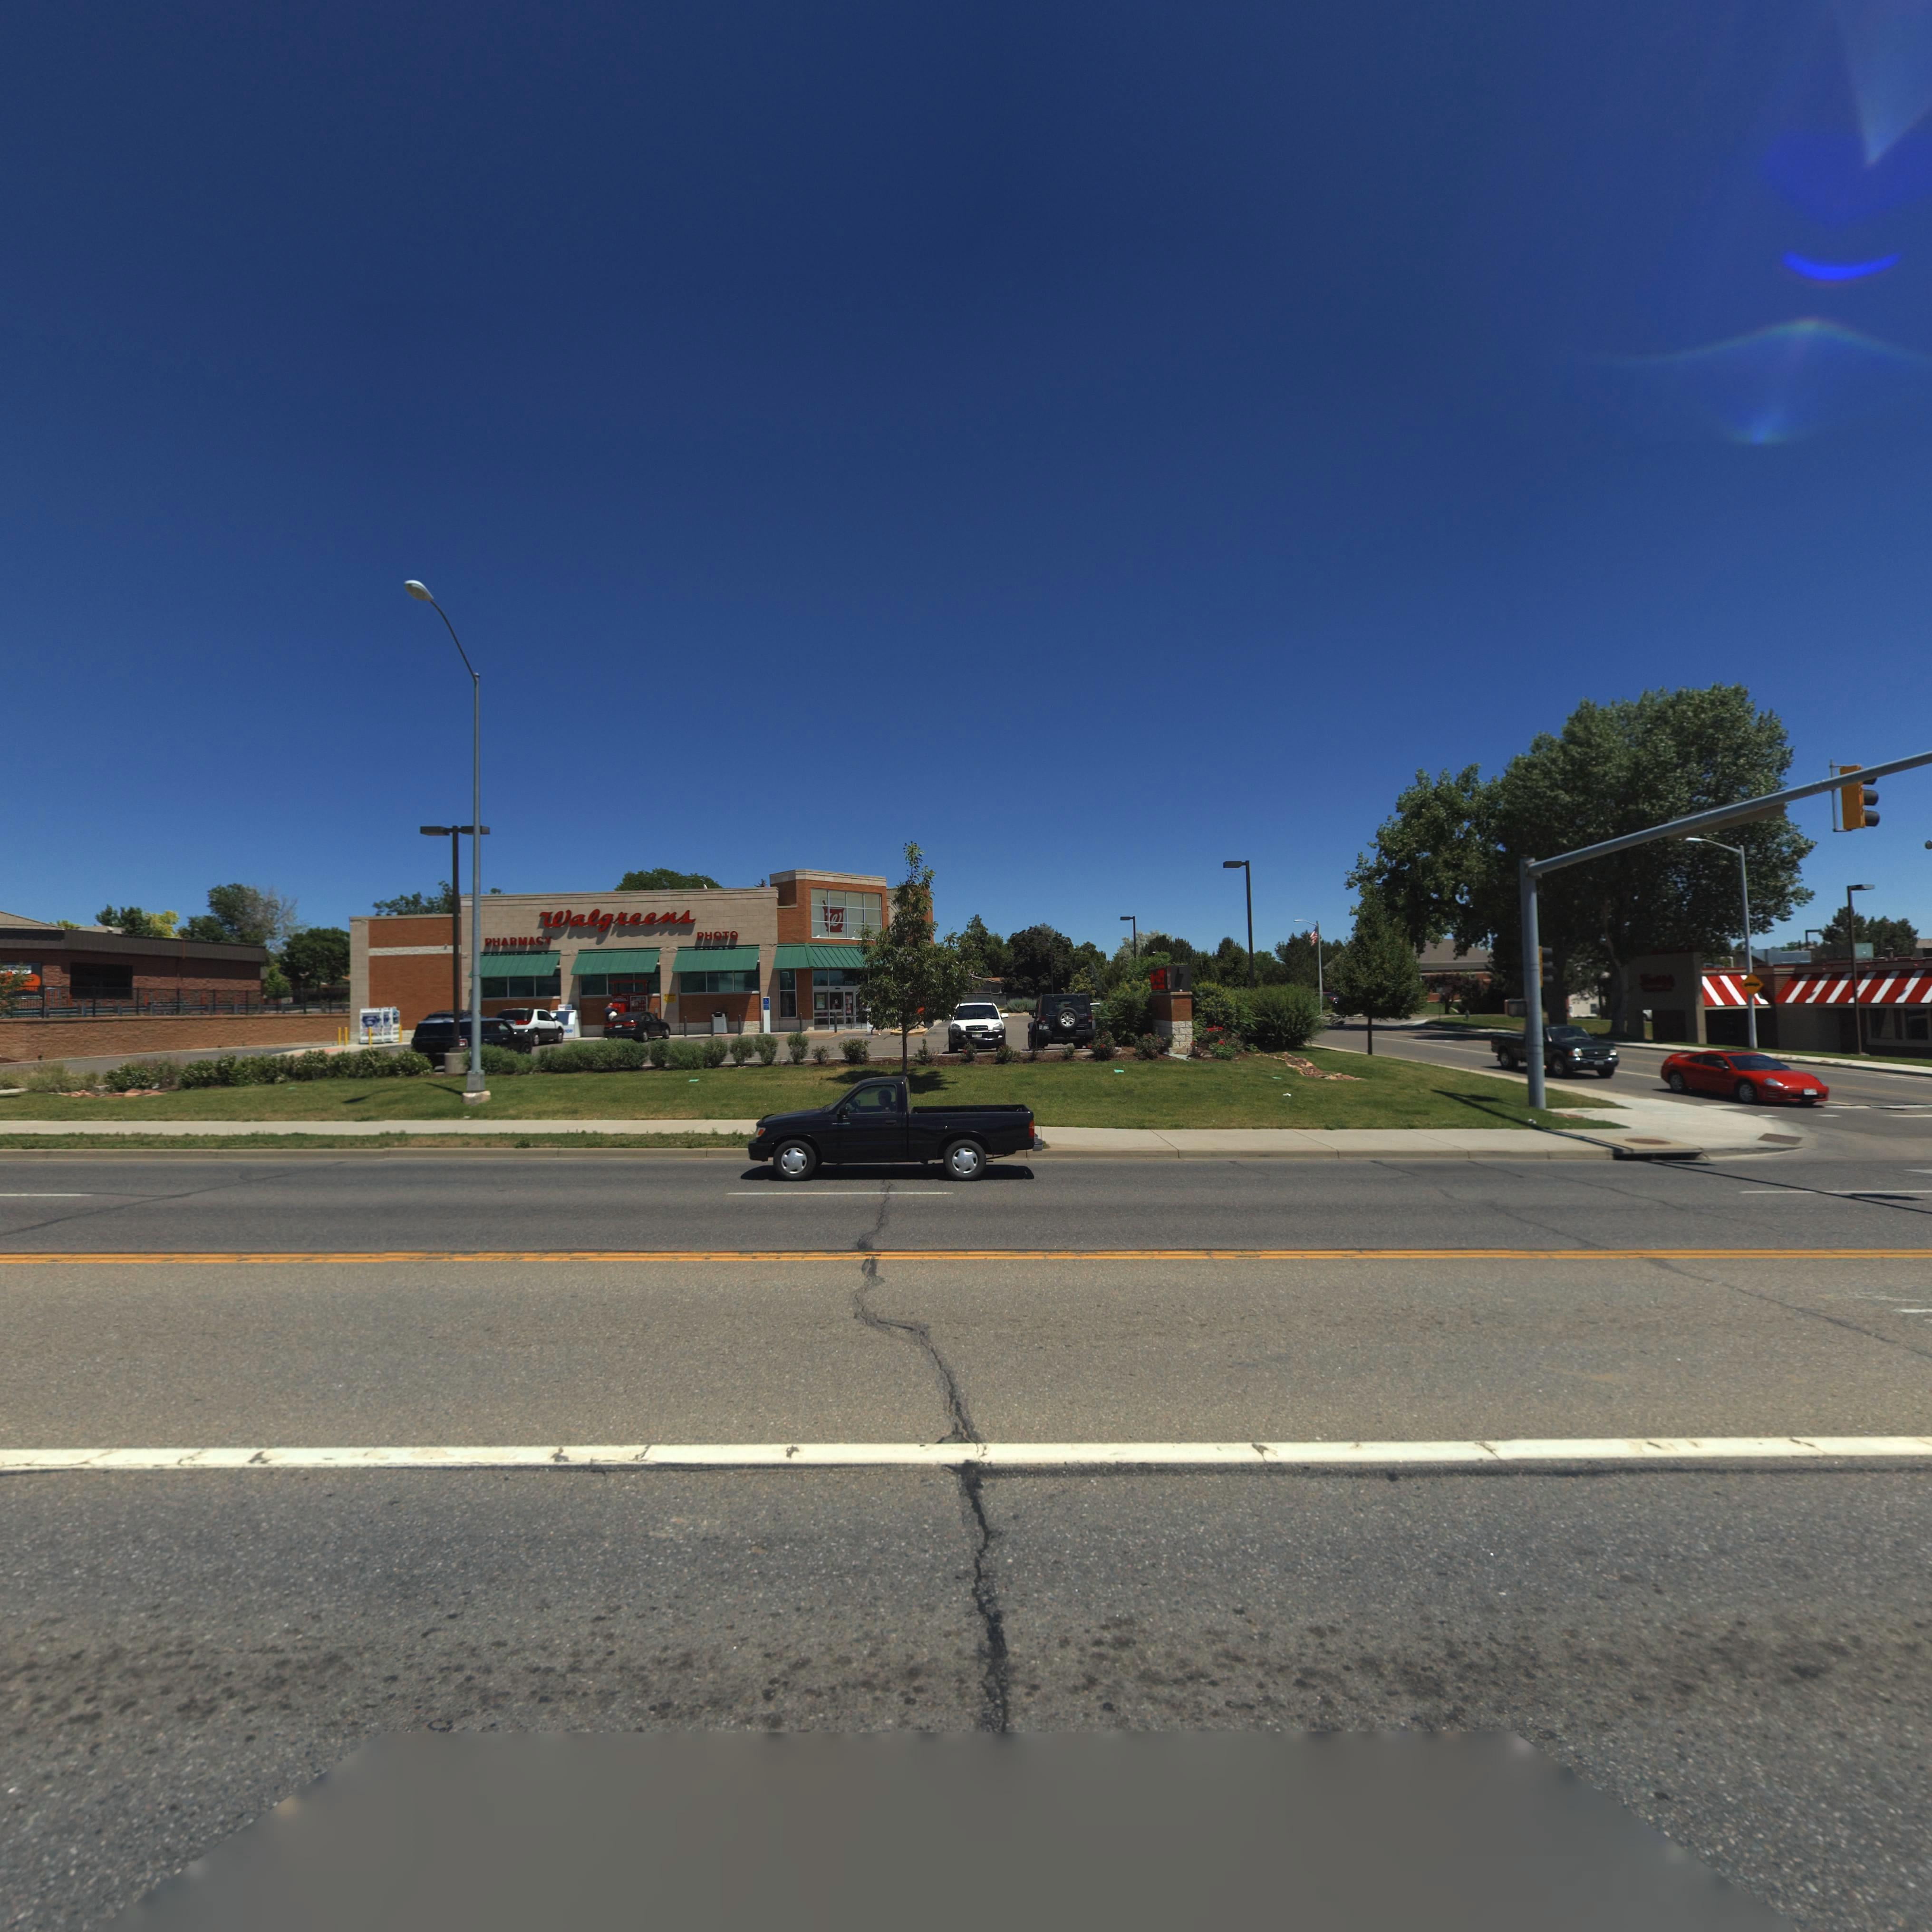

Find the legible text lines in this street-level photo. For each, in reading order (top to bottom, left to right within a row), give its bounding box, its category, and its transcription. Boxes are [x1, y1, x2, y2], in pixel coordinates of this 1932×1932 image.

[539, 908, 696, 932] BusinessName: Walgreens
[844, 980, 853, 985] StreetNumber: 277*